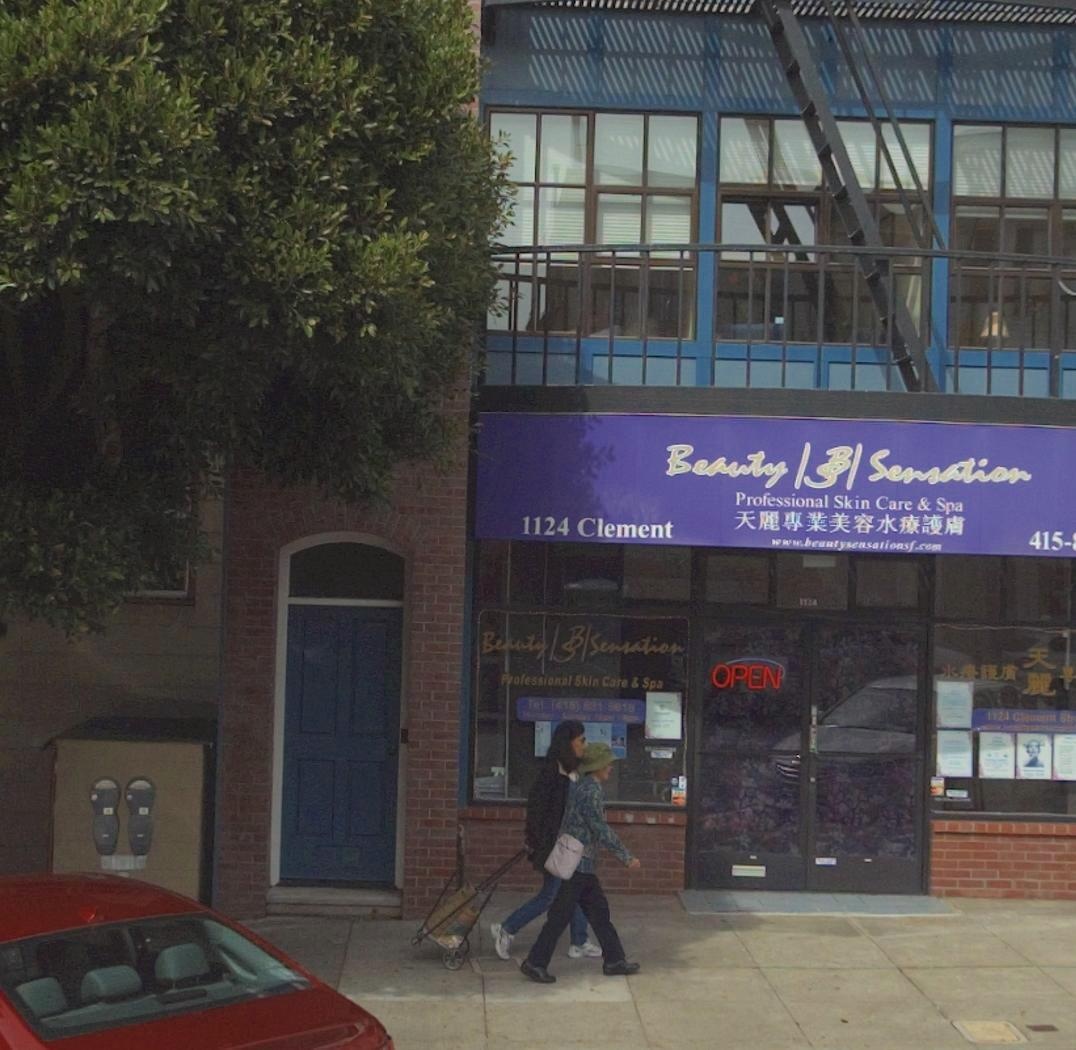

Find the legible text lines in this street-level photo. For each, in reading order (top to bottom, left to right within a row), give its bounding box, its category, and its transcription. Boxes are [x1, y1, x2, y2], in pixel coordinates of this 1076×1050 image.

[664, 443, 790, 491] BusinessName: Beauty
[867, 447, 1033, 485] BusinessName: Sensation
[734, 490, 964, 516] BusinessName: Professional Skin Care & Spa
[520, 515, 571, 537] StreetNumber: 1124
[576, 516, 676, 540] StreetName: Clement
[770, 535, 943, 553] None: www.be**tysensationsf.com
[1026, 530, 1065, 551] None: 415
[797, 597, 819, 607] StreetNumber: 11*4
[481, 631, 550, 662] BusinessName: Be*uty
[589, 632, 686, 656] BusinessName: Sensation
[499, 672, 664, 691] BusinessName: Professional Skin Care & Spa
[711, 663, 781, 691] None: OPEN
[582, 700, 636, 713] None: 831-5618
[984, 711, 1010, 722] StreetNumber: 1124
[1012, 711, 1075, 723] StreetName: Clement Str